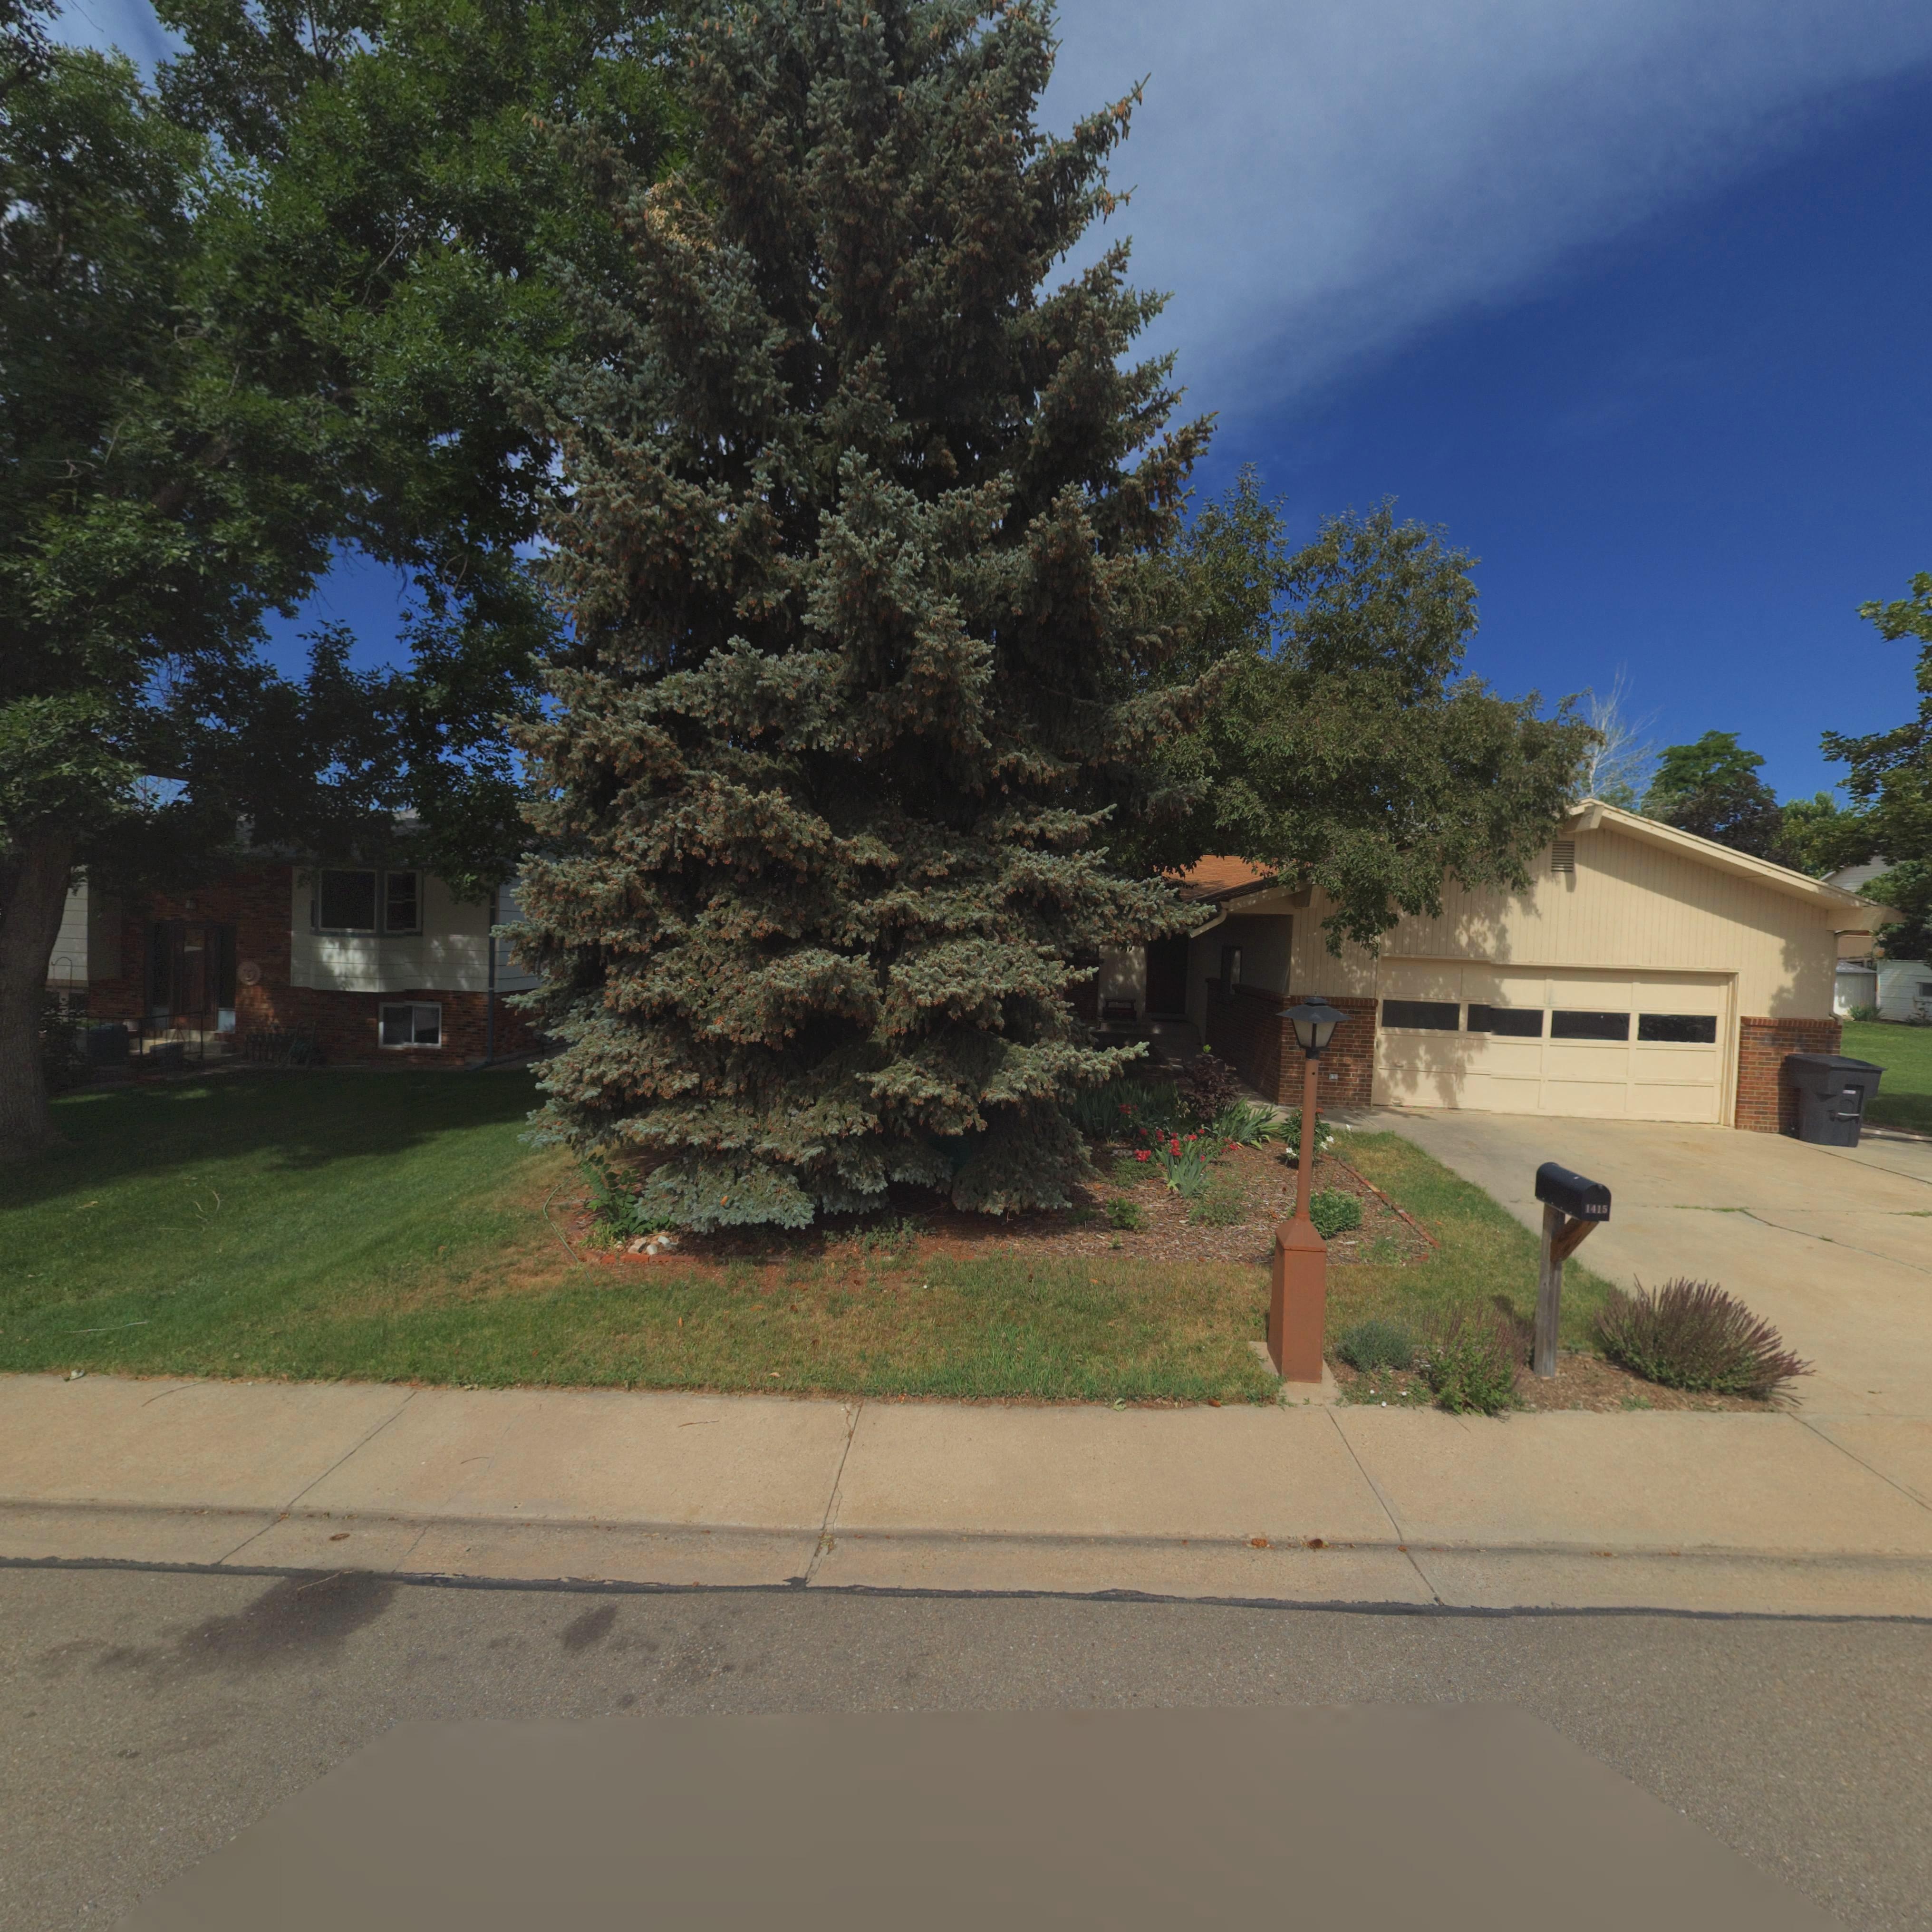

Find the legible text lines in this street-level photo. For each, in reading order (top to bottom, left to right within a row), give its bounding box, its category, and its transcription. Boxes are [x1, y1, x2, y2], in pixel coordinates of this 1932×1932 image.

[1585, 1204, 1608, 1214] StreetNumber: 1415